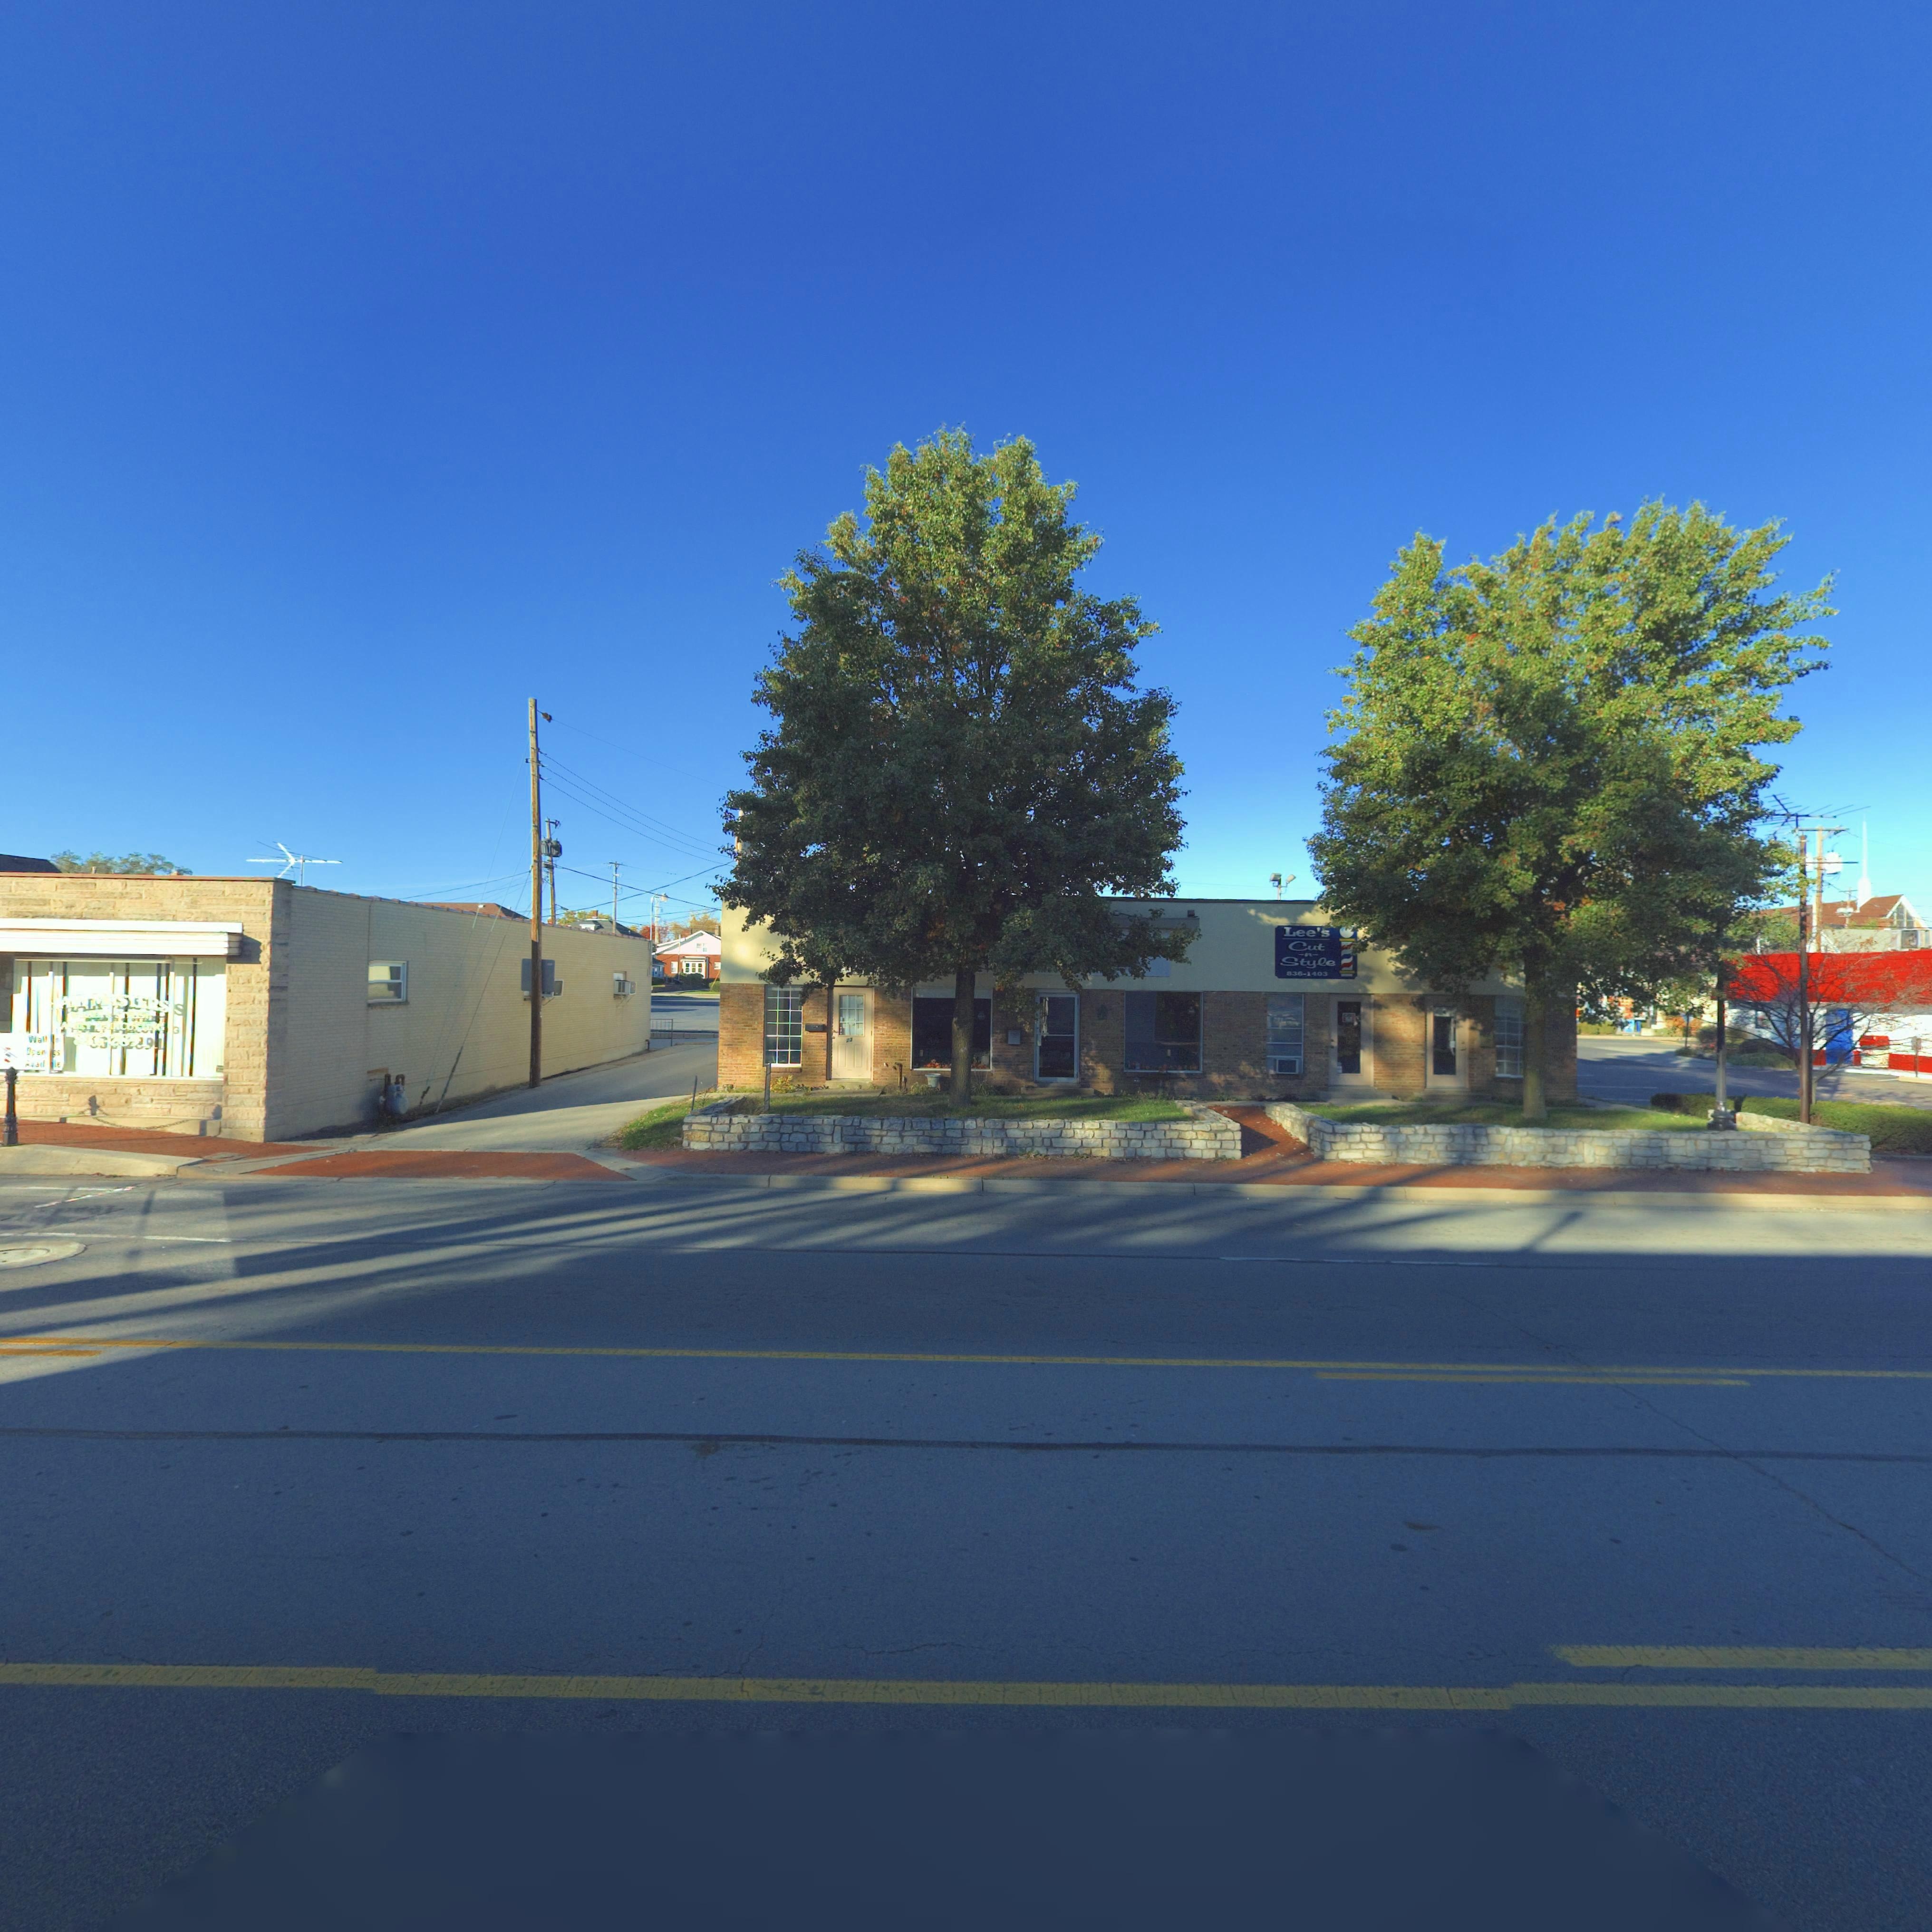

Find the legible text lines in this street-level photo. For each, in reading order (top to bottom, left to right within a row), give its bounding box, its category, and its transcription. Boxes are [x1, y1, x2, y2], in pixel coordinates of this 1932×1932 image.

[1283, 925, 1330, 938] None: Lee's
[1285, 939, 1325, 951] None: Cut
[1303, 951, 1313, 957] None: n
[1279, 955, 1336, 969] None: Style
[1285, 970, 1328, 976] None: 836-1403
[846, 1037, 853, 1043] StreetNumber: 23